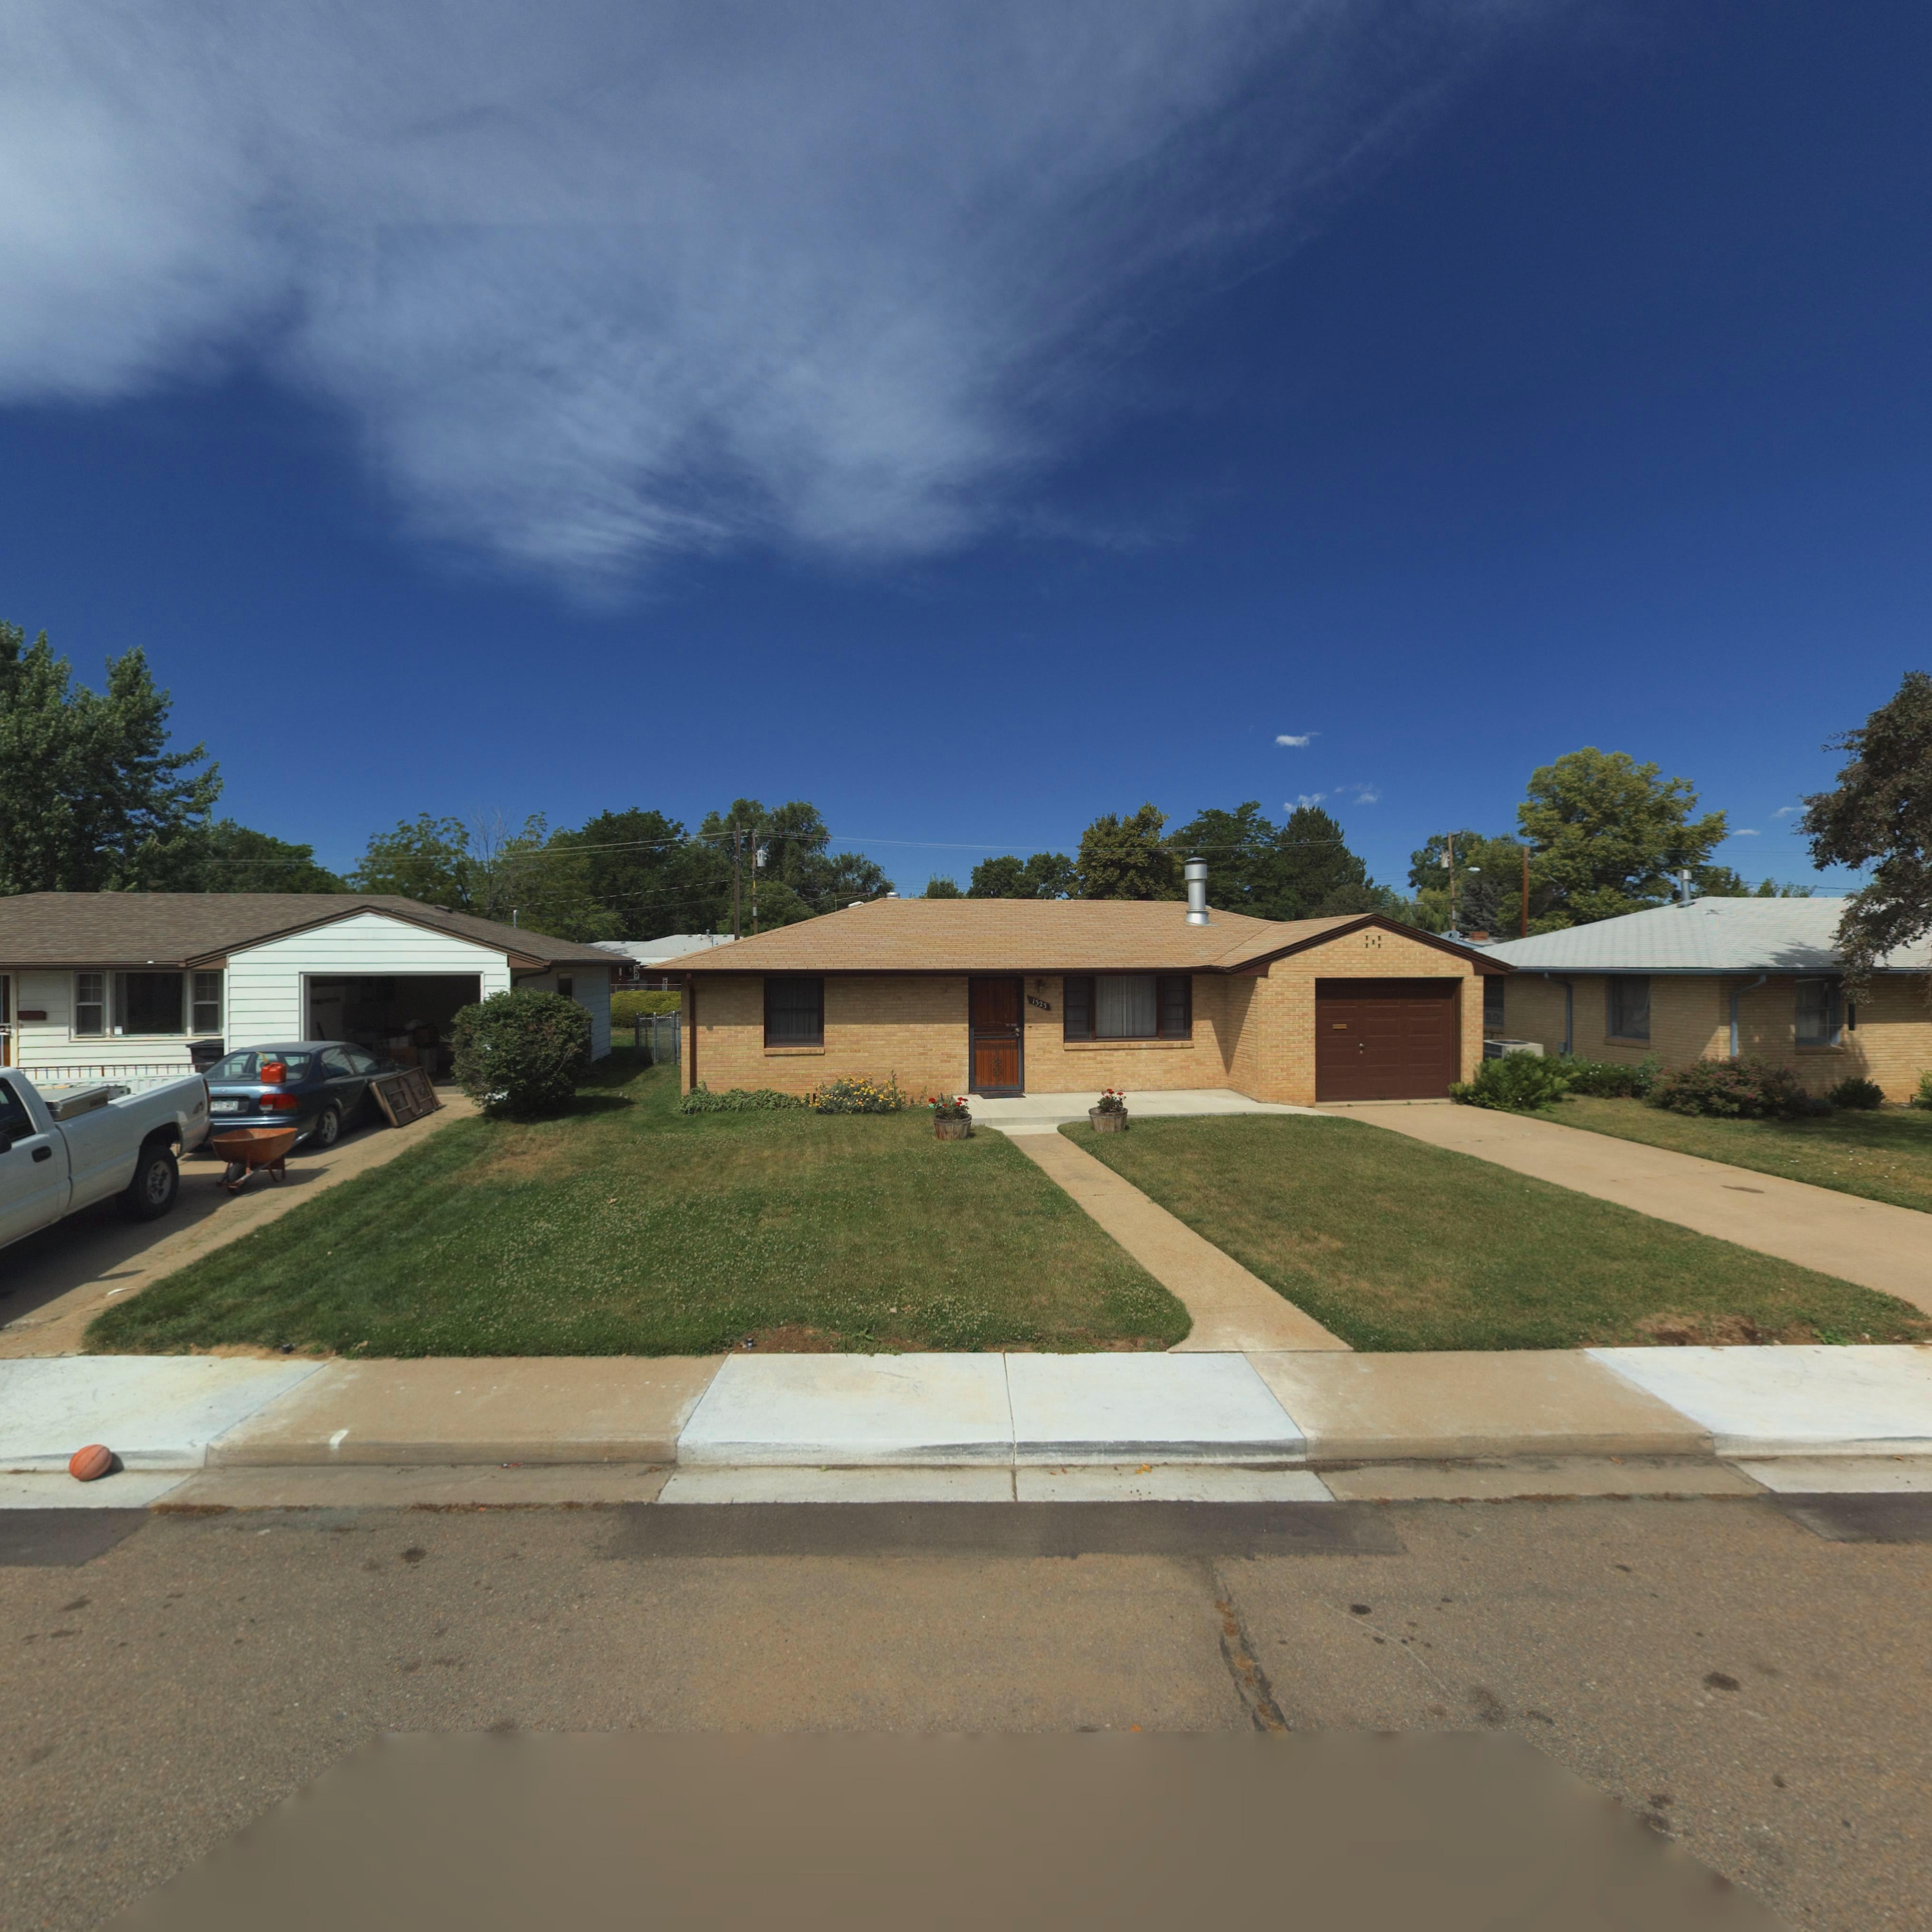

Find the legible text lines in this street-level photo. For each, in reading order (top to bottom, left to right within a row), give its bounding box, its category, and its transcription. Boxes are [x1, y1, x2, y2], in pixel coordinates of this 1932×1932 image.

[1031, 996, 1047, 1009] StreetNumber: 1323